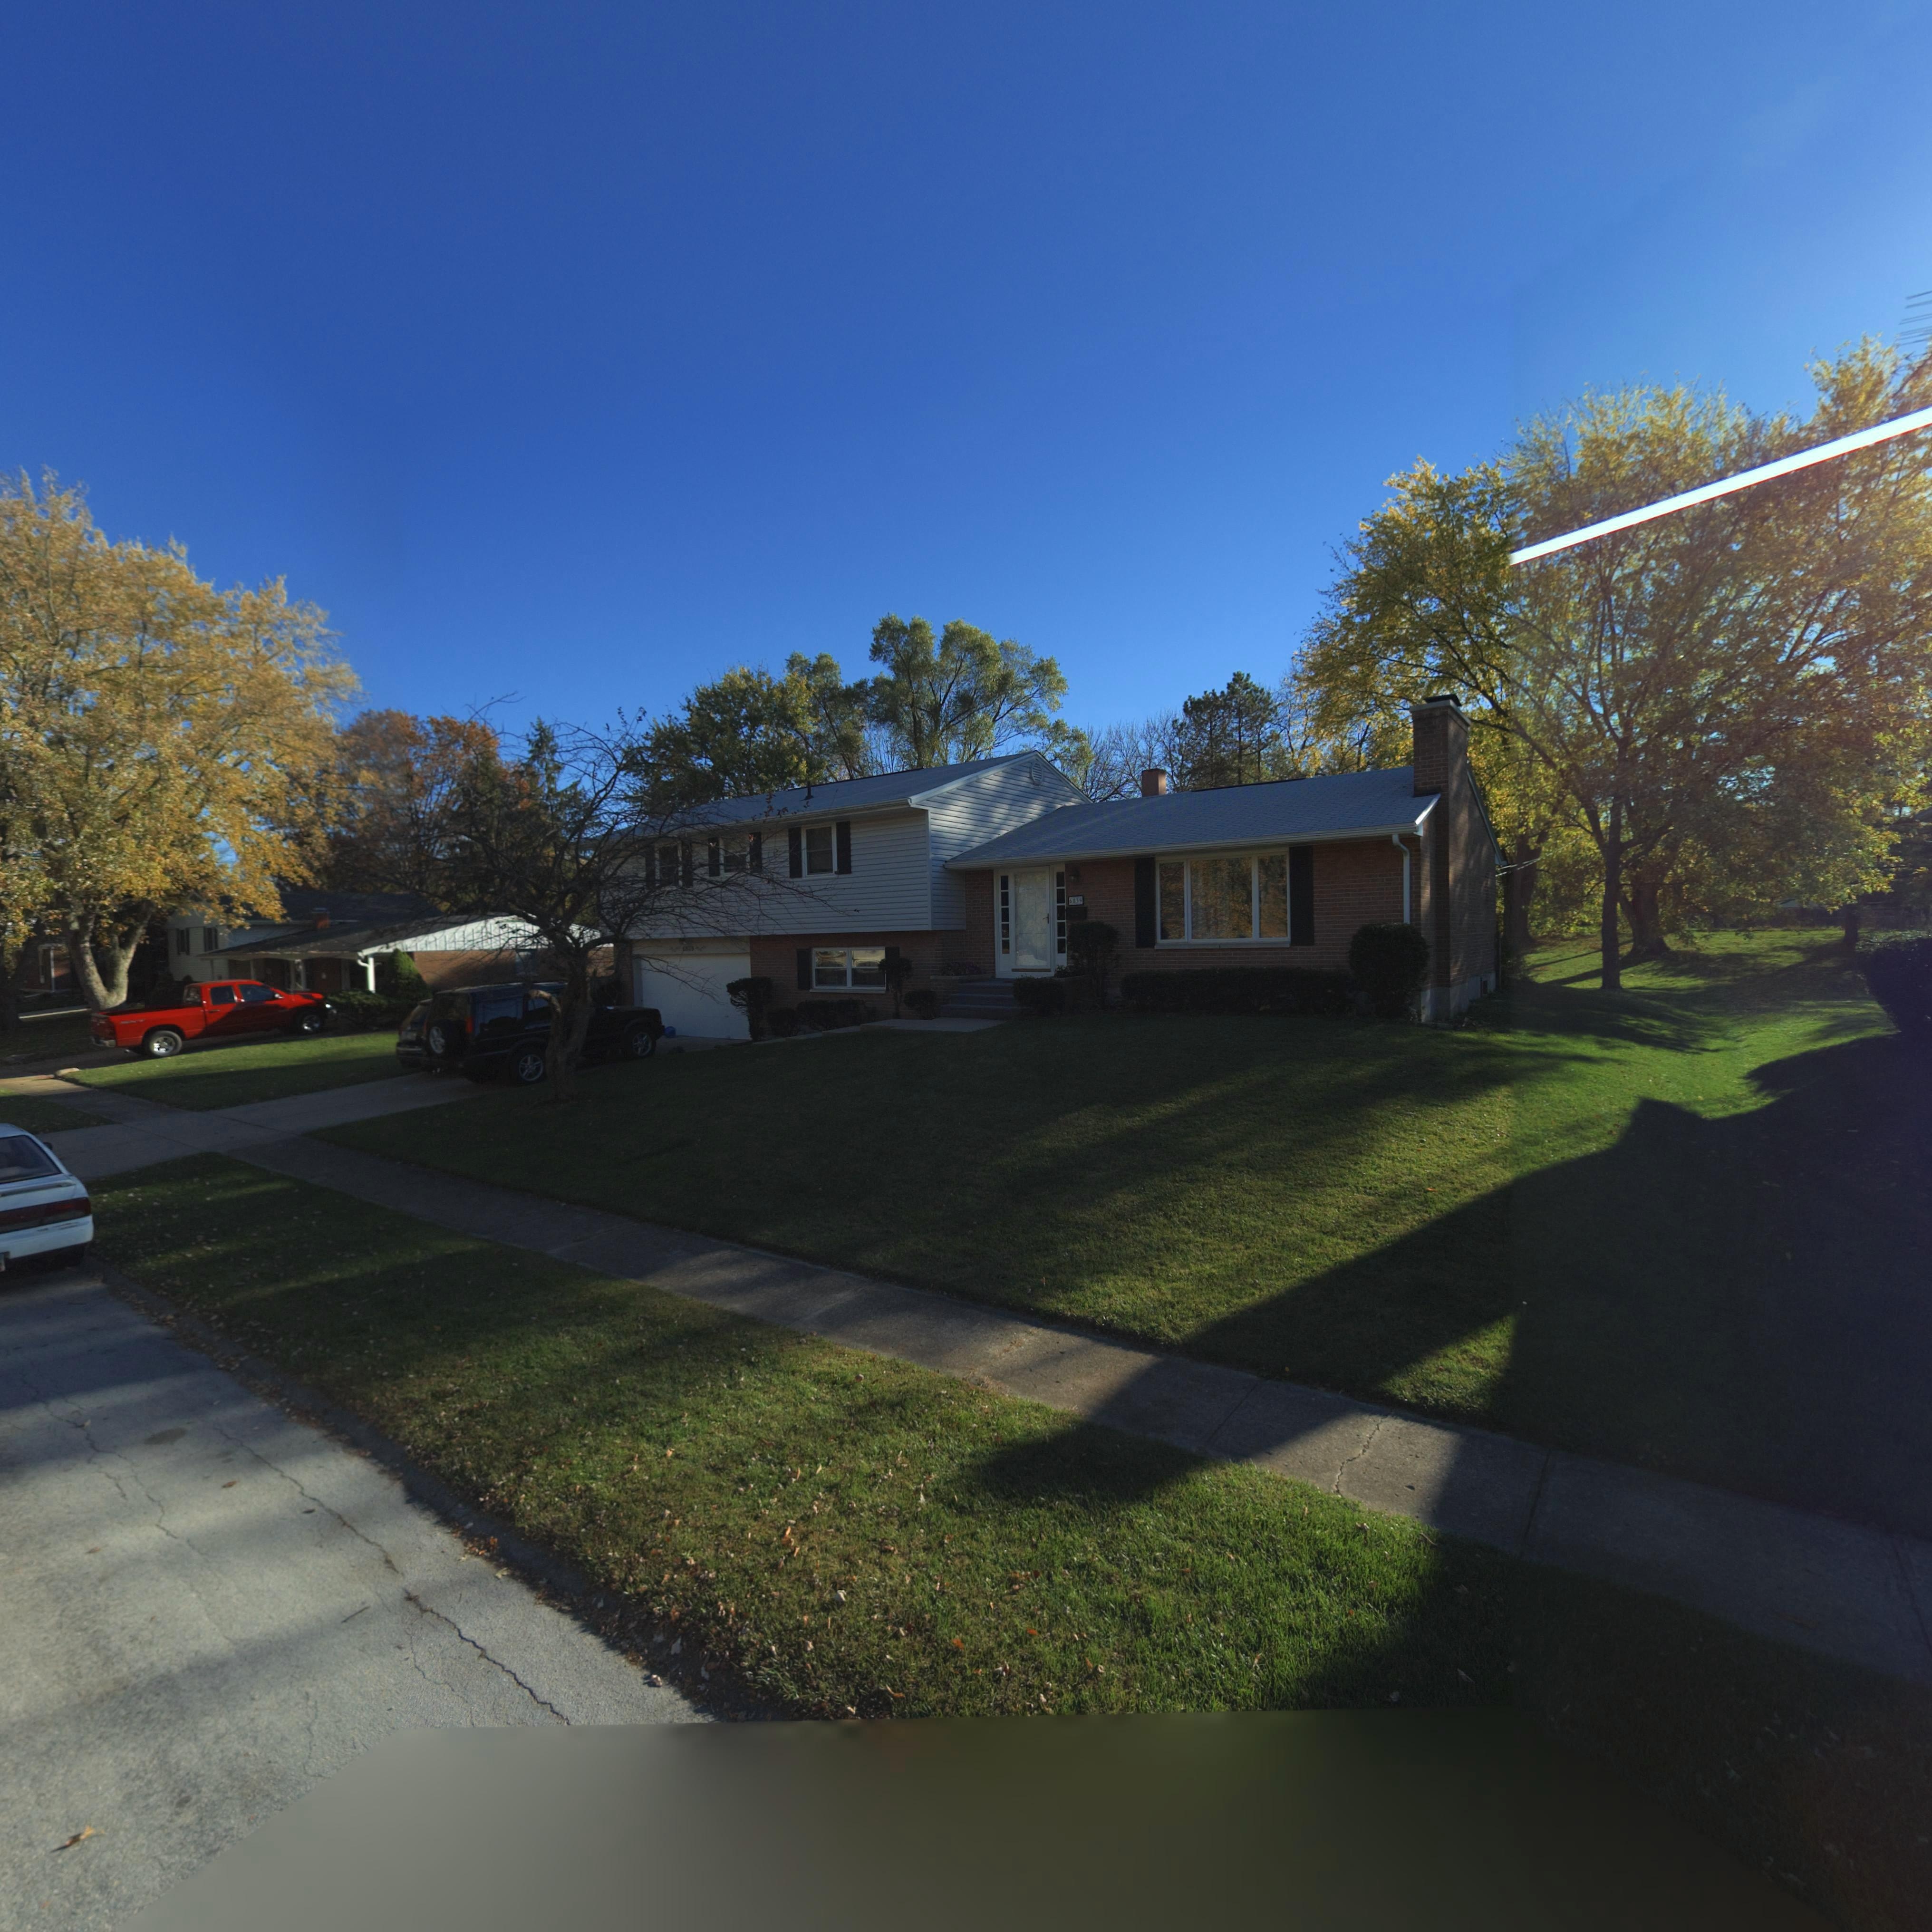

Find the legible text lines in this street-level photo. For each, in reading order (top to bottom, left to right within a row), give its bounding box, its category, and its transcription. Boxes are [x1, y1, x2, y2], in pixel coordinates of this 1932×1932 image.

[1069, 898, 1082, 903] StreetNumber: 6835
[682, 946, 694, 951] StreetNumber: 68**